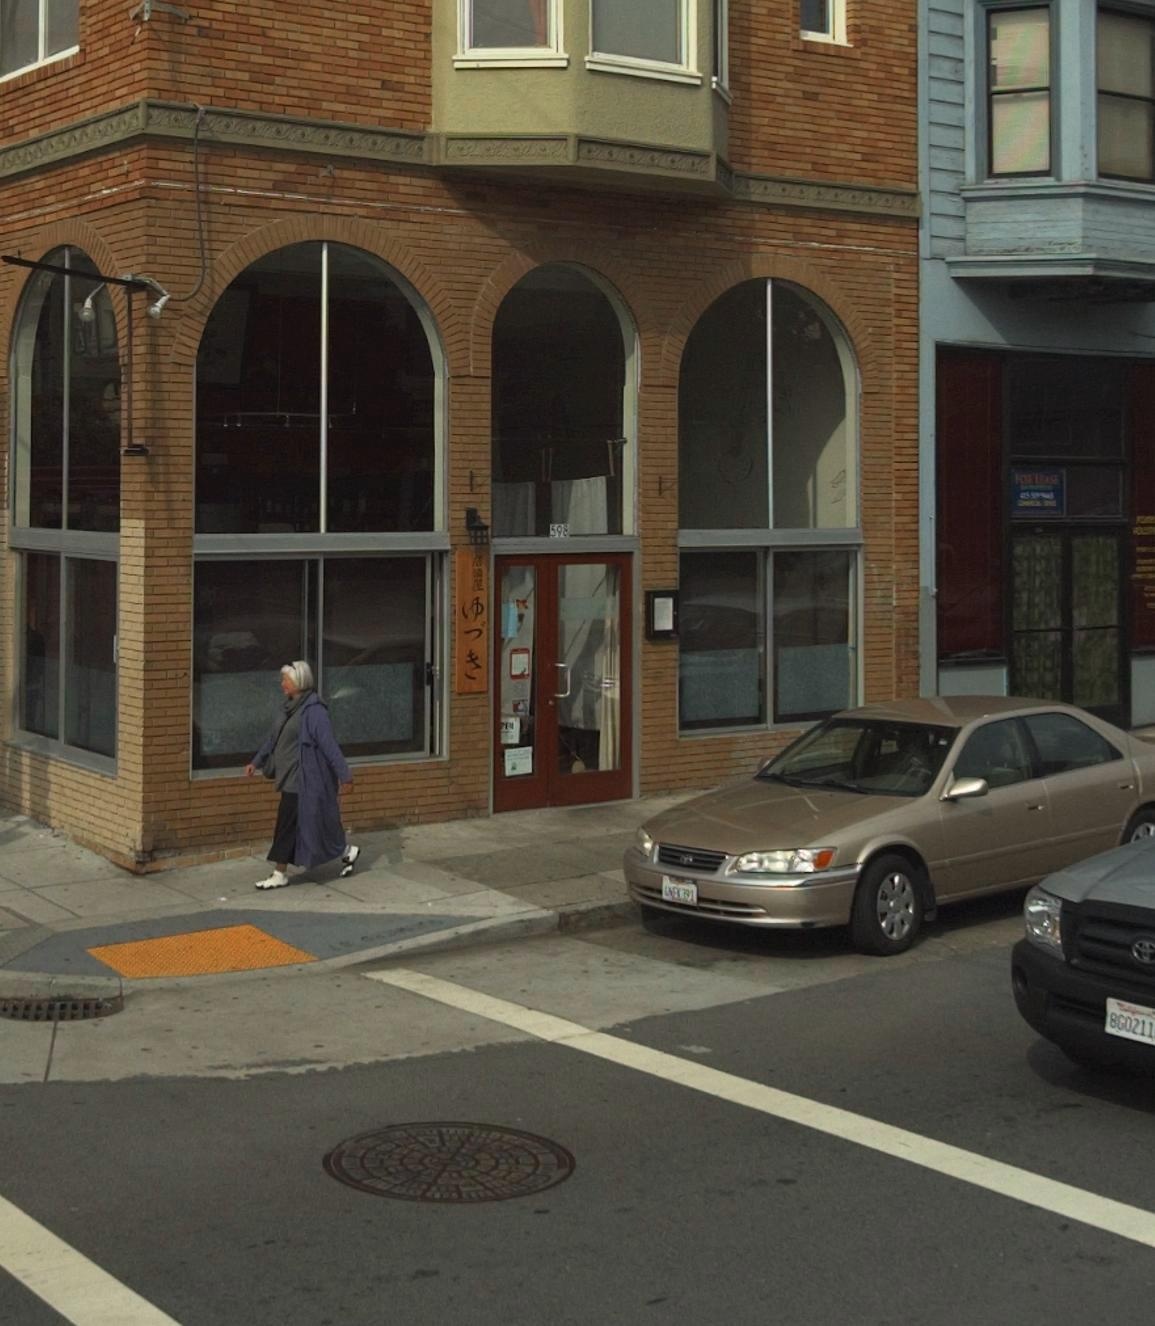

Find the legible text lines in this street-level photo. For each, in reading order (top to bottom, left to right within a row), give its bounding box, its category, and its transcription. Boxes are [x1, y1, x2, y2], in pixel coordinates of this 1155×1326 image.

[1013, 473, 1061, 486] None: FOR LEASE
[550, 523, 570, 537] StreetNumber: 598
[1107, 1009, 1154, 1042] None: 8GOZ11